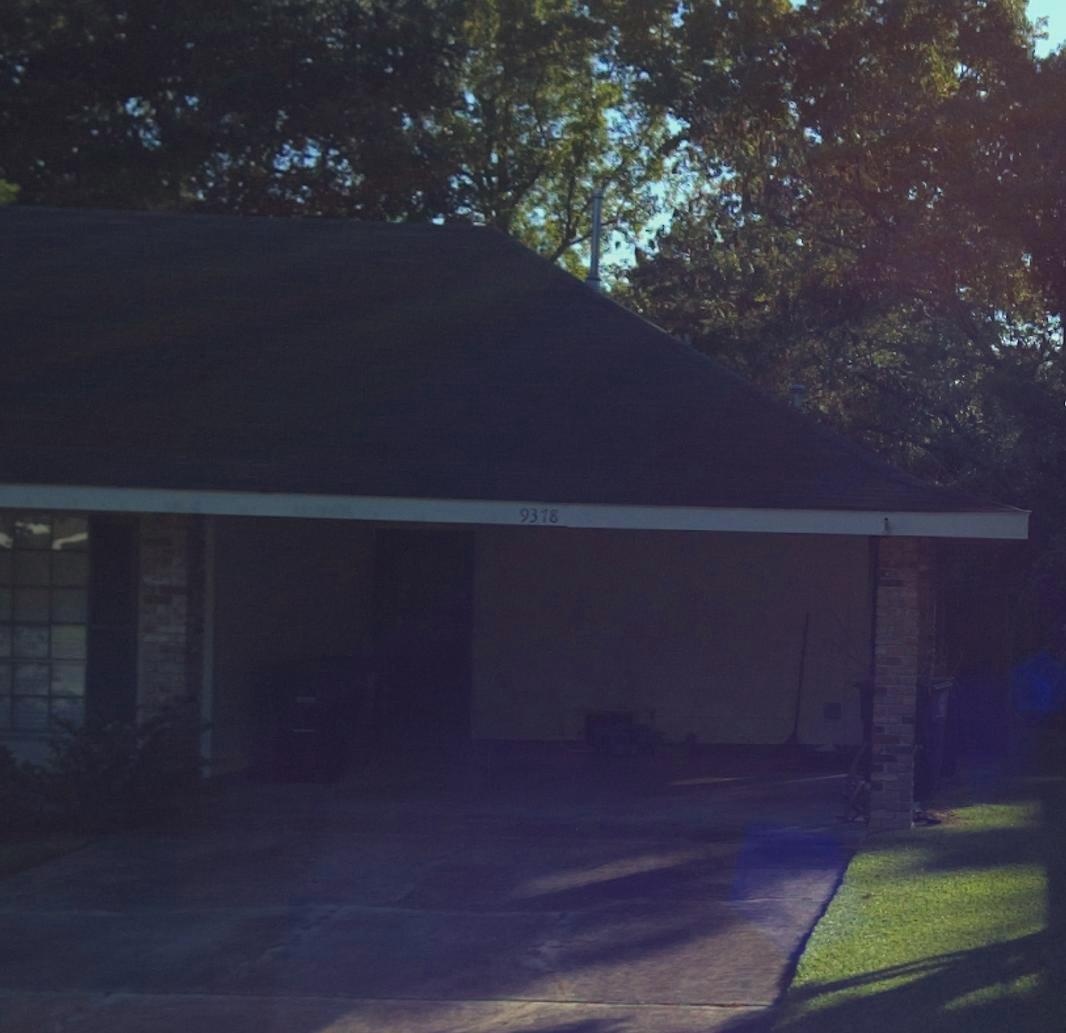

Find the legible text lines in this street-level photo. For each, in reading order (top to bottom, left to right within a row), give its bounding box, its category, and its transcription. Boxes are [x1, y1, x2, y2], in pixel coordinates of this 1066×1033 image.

[520, 507, 559, 524] StreetNumber: 9318